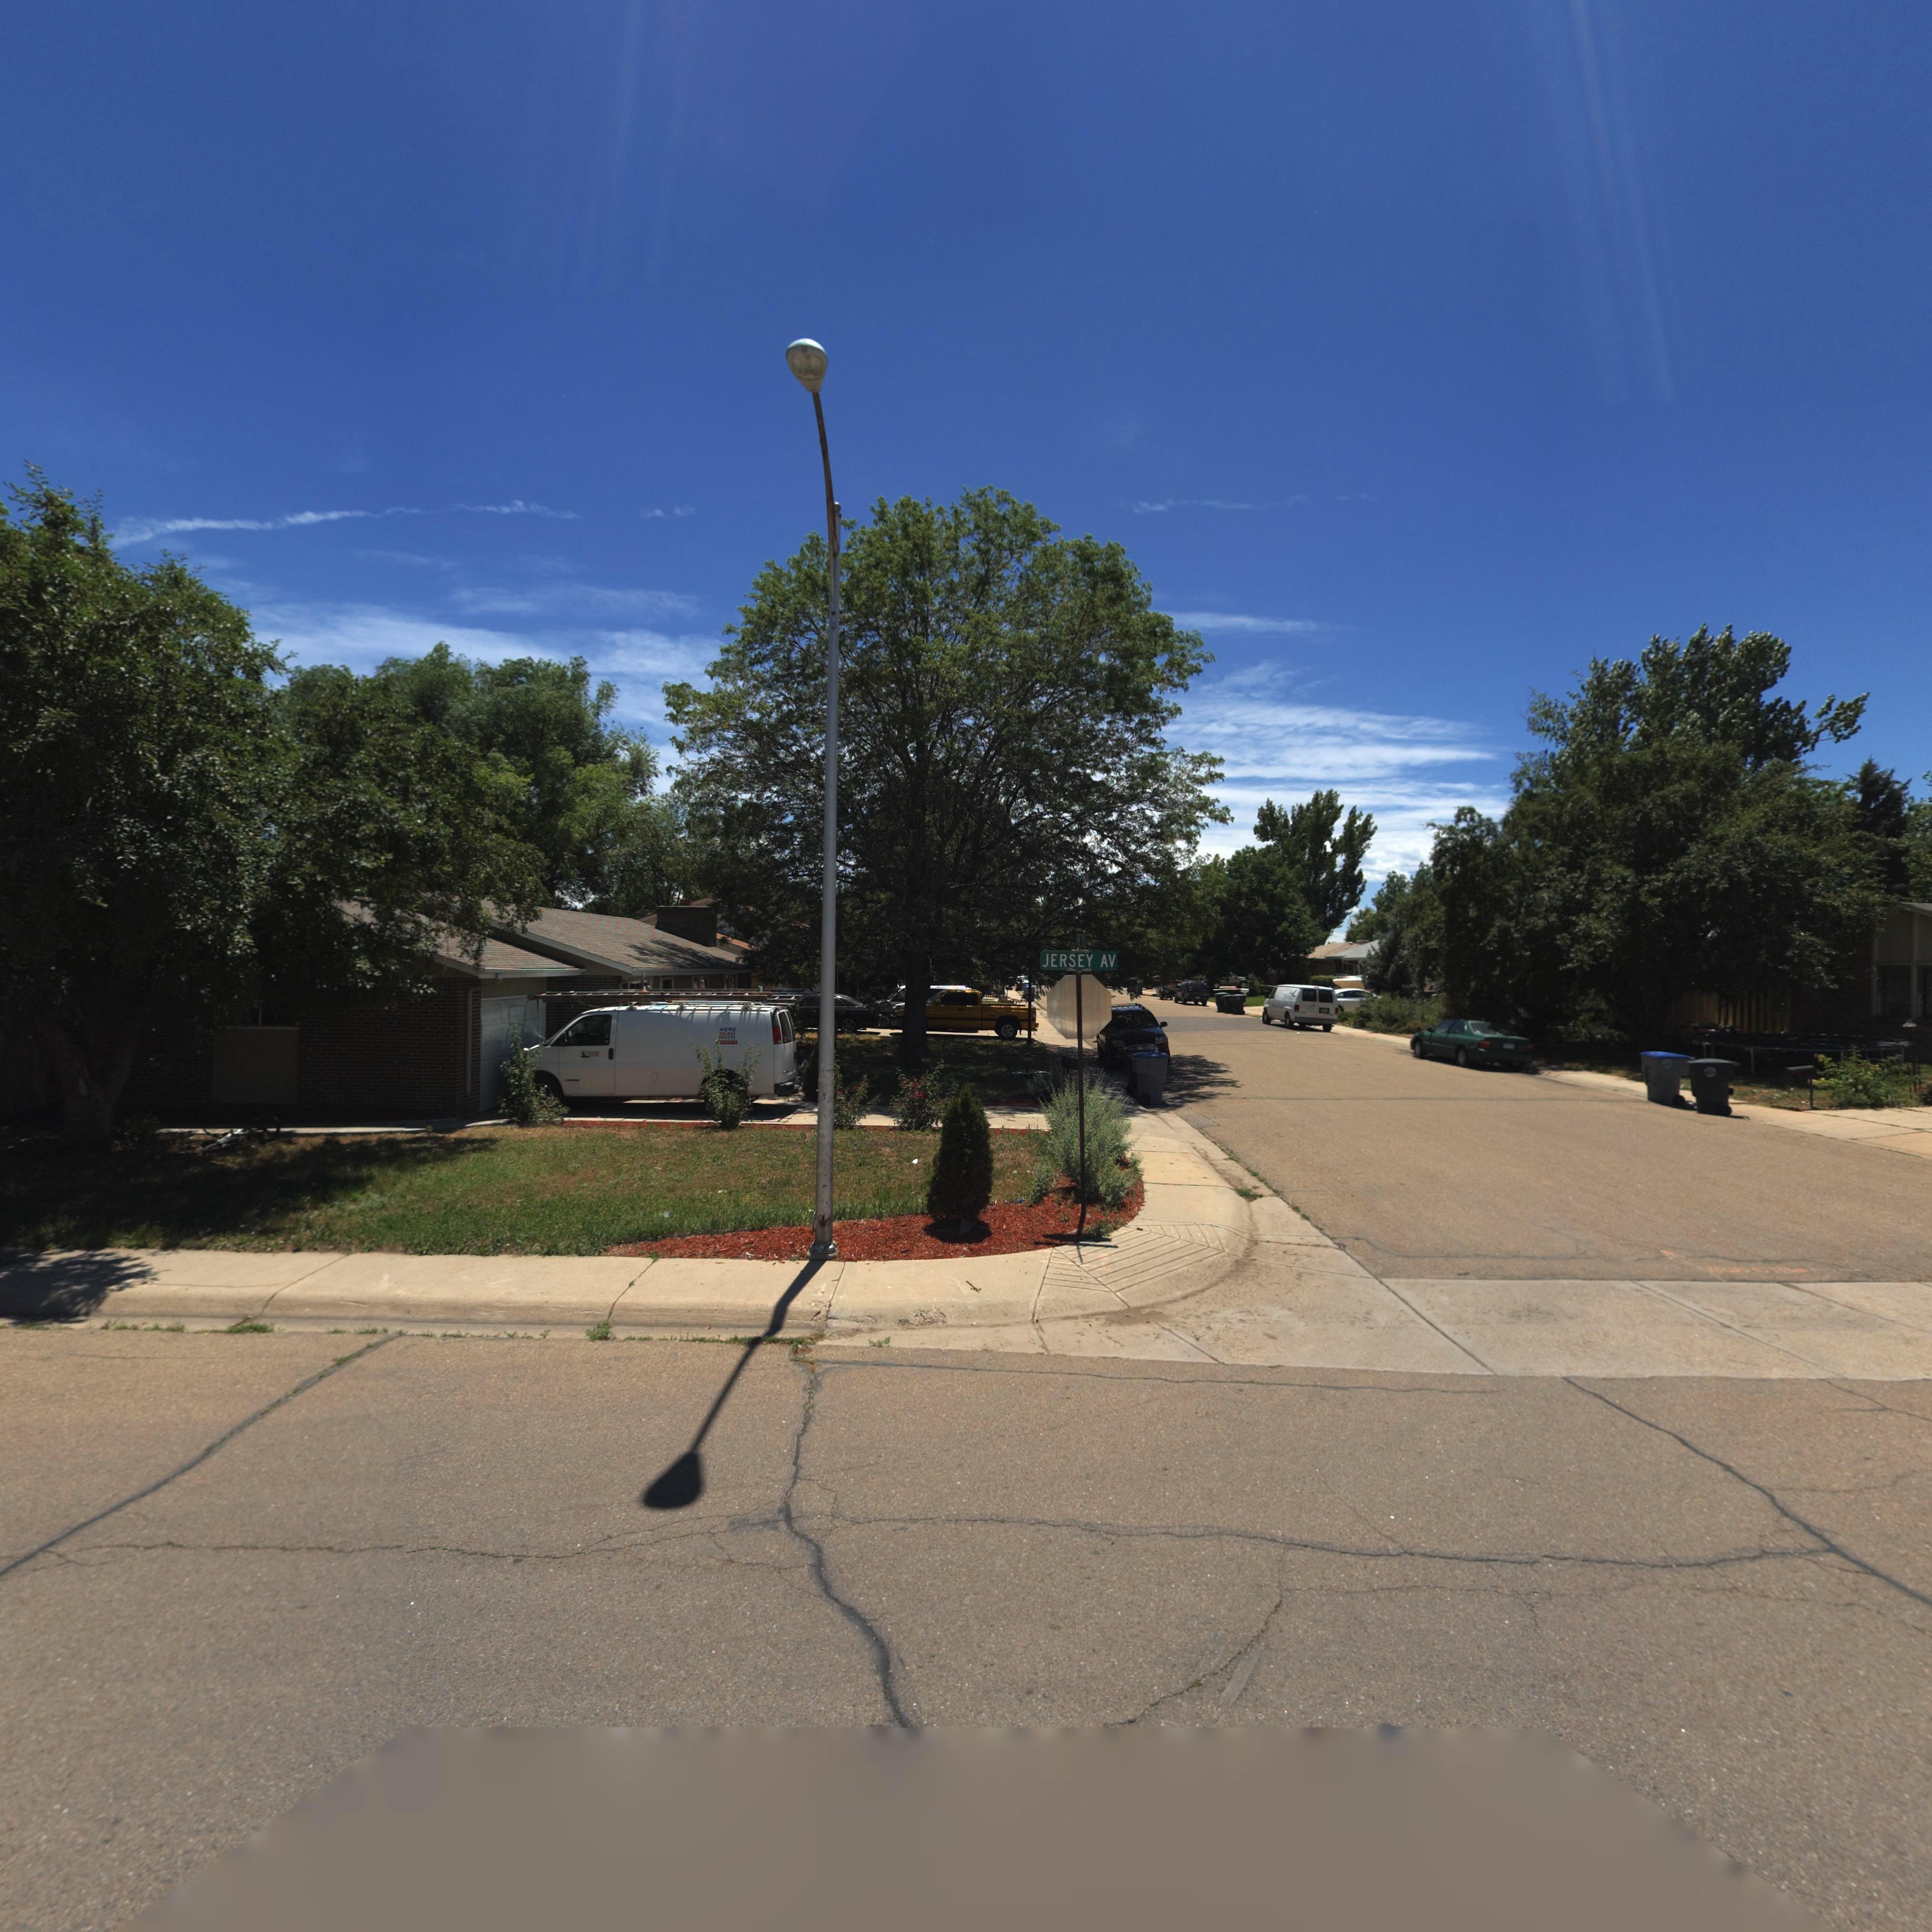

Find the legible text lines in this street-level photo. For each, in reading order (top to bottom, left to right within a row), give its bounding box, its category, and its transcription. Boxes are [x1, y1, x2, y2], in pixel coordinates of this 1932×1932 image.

[1041, 953, 1117, 968] StreetName: JERSEY AV